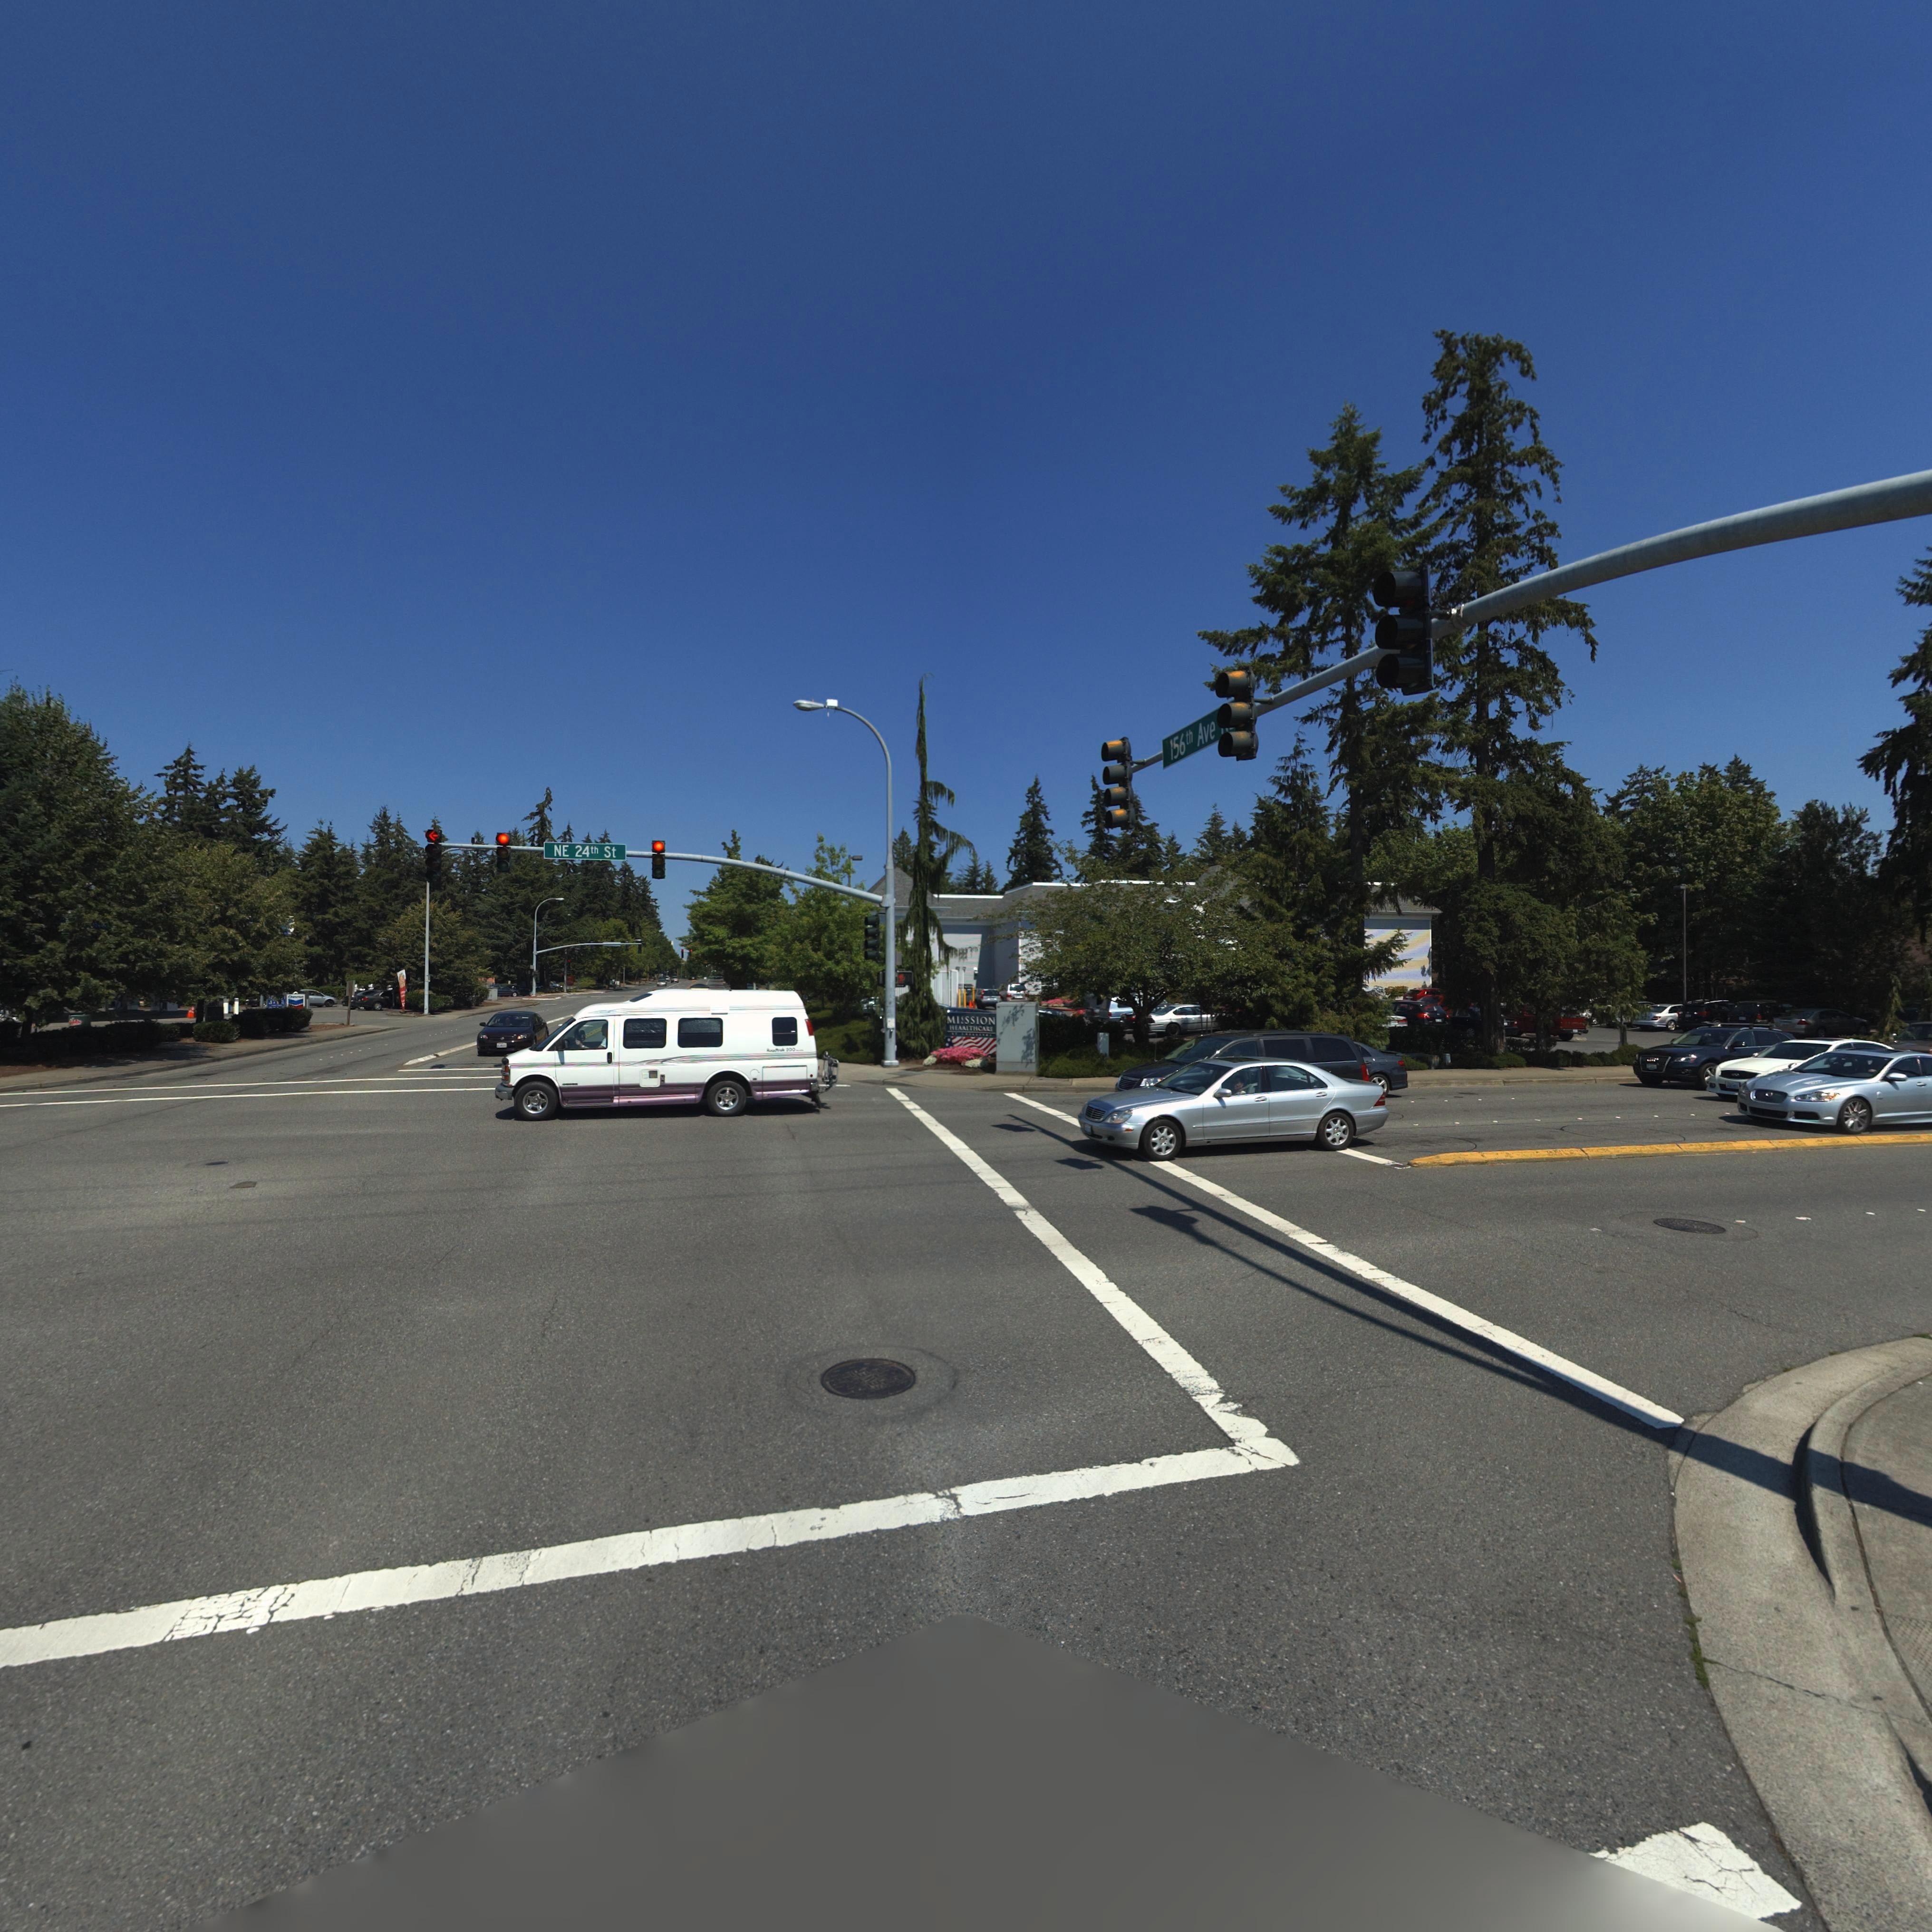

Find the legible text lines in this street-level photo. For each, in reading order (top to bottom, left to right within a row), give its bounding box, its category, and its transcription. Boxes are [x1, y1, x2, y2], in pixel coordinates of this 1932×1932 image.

[1169, 720, 1216, 761] StreetName: 156th Ave
[554, 845, 616, 857] StreetName: NE 24th St
[947, 1015, 995, 1024] BusinessName: MI*SSION
[949, 1024, 994, 1032] BusinessName: HE*ALTHCARE